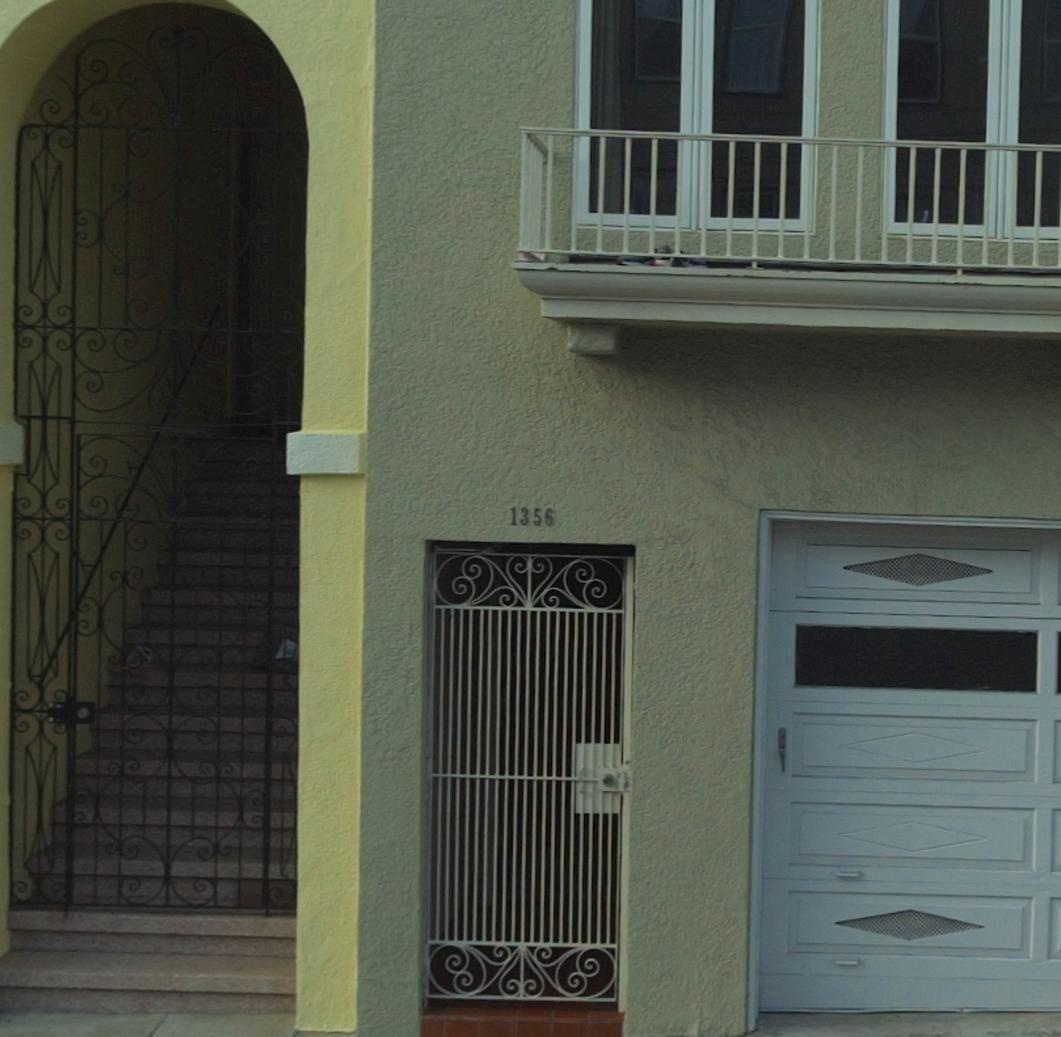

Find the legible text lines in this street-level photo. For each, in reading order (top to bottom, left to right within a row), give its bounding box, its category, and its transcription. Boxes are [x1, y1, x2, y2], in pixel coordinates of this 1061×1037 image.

[507, 504, 557, 529] StreetNumber: 1356